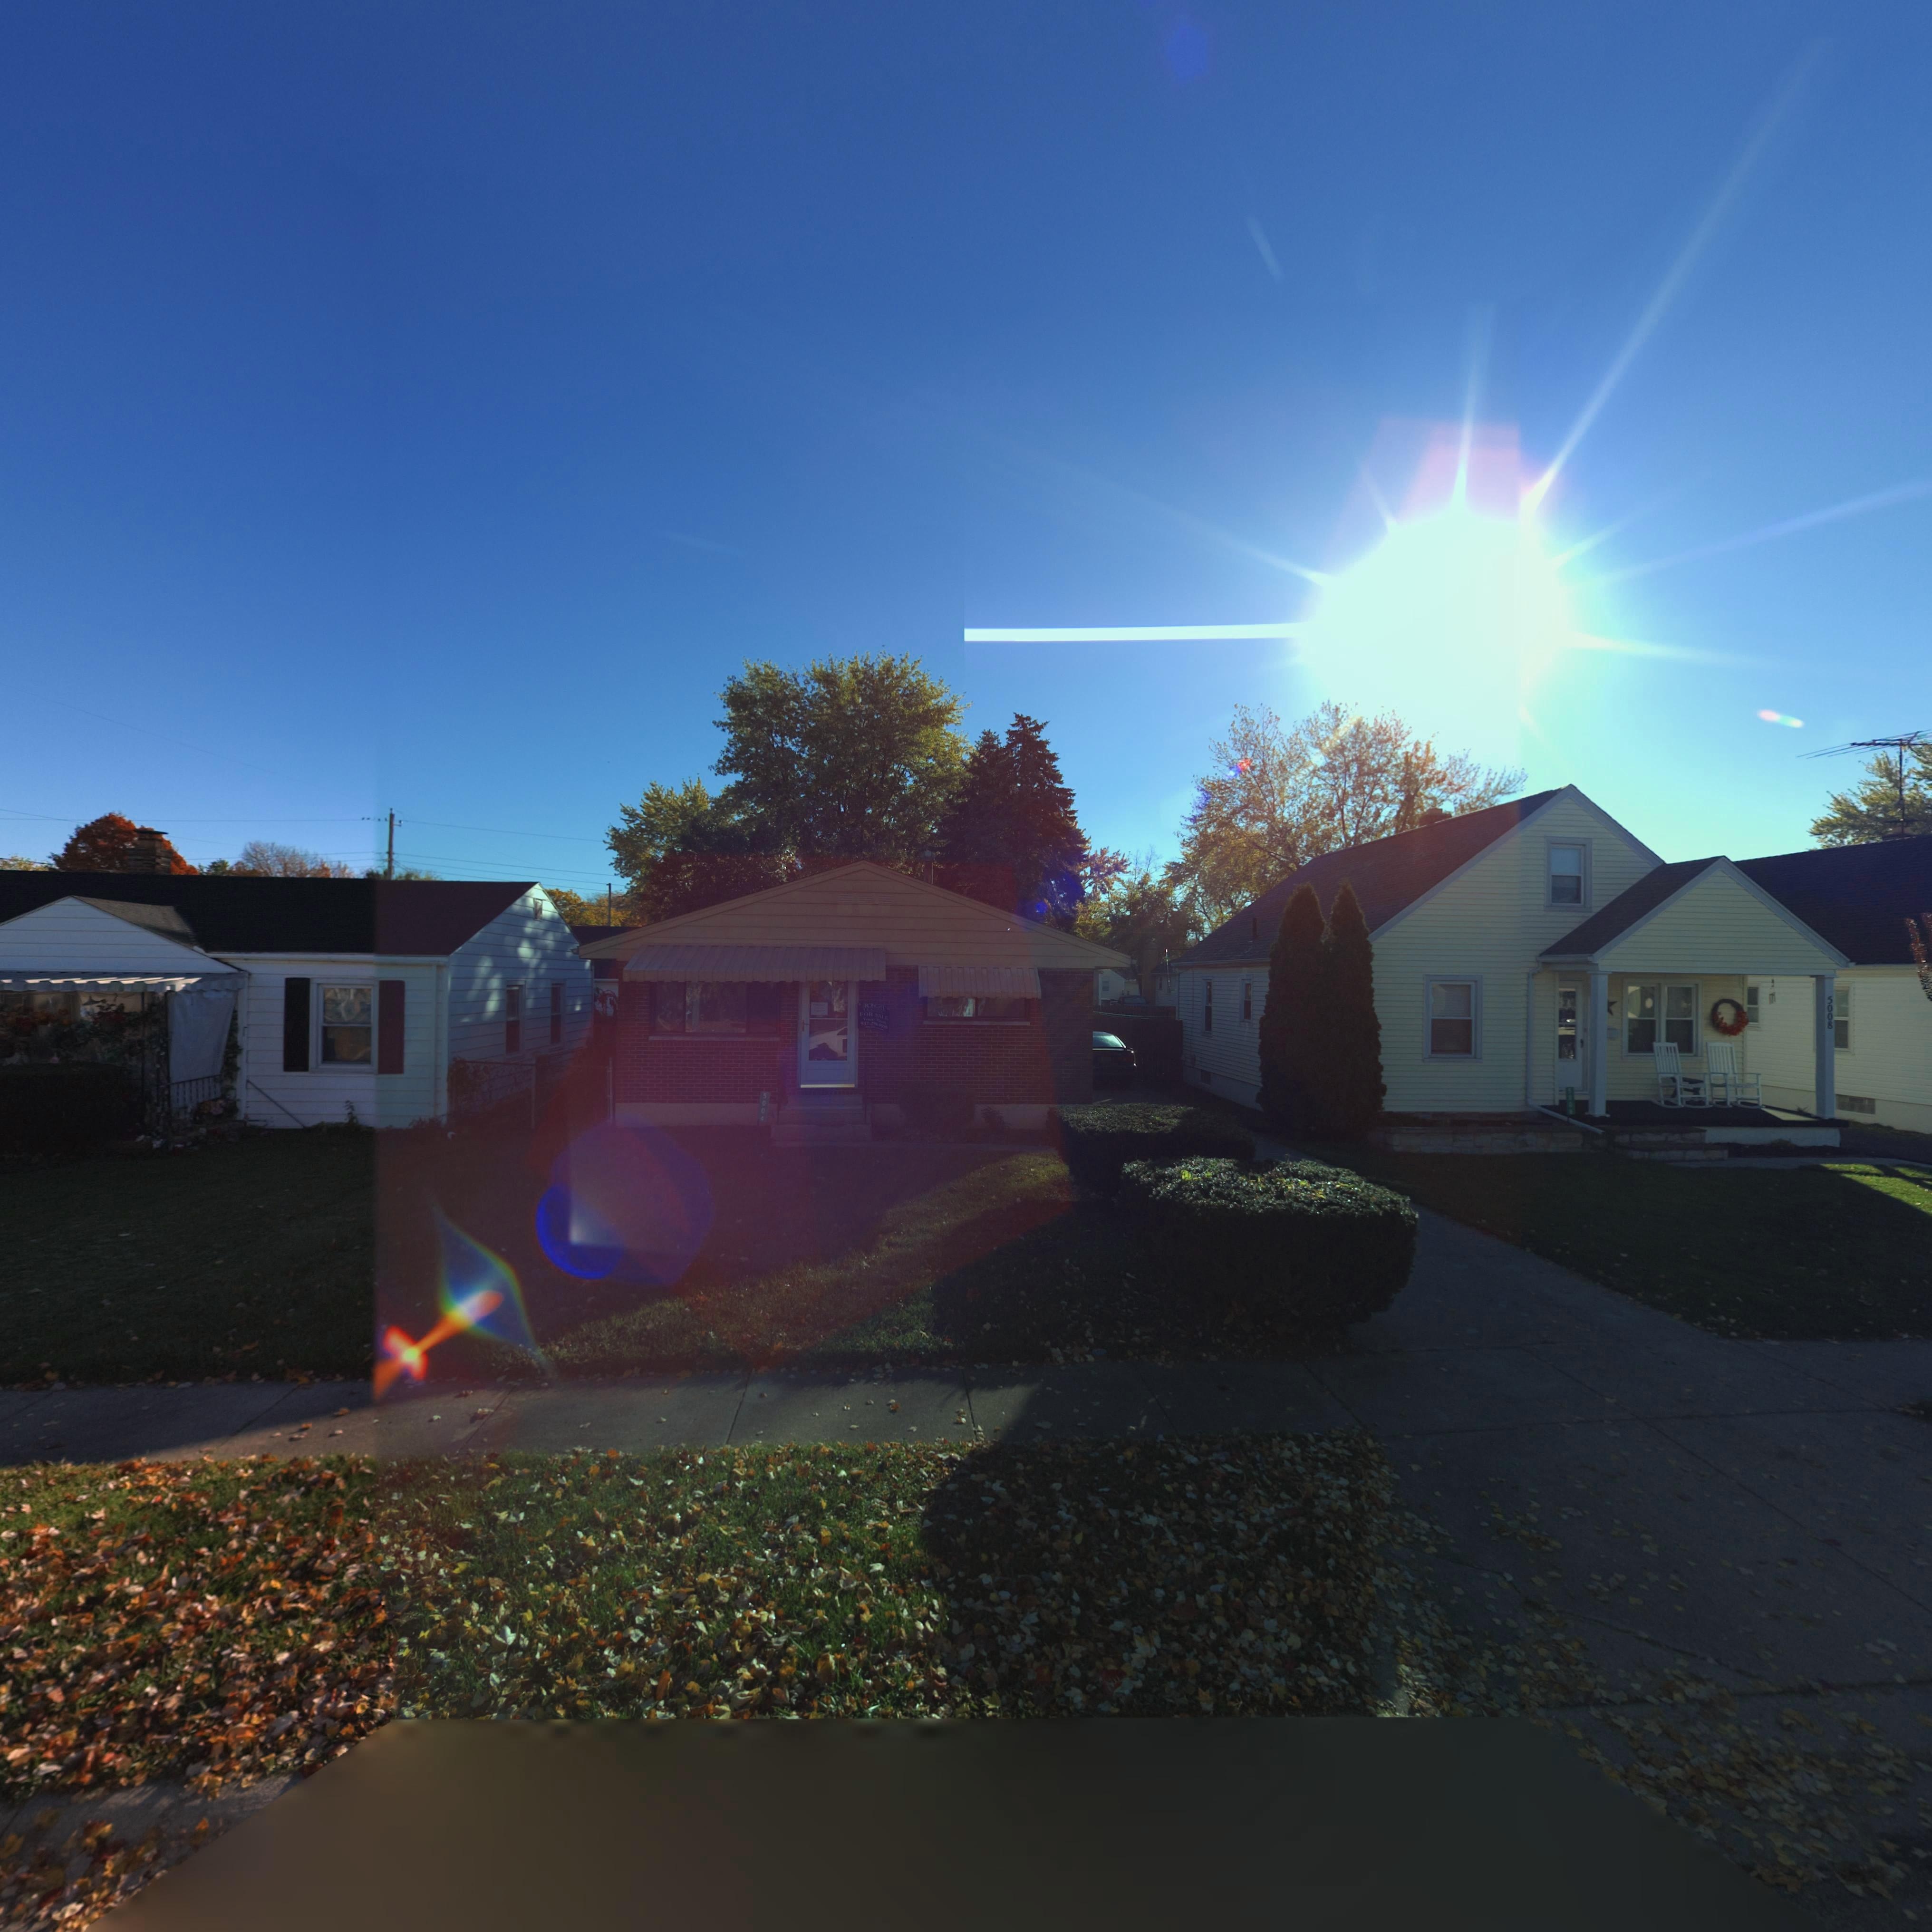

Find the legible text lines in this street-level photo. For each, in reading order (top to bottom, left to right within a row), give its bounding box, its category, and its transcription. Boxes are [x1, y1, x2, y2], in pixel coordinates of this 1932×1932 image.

[1826, 995, 1833, 1030] StreetNumber: 5008
[759, 1092, 768, 1122] StreetNumber: 5004
[1567, 1087, 1574, 1115] StreetNumber: 5008